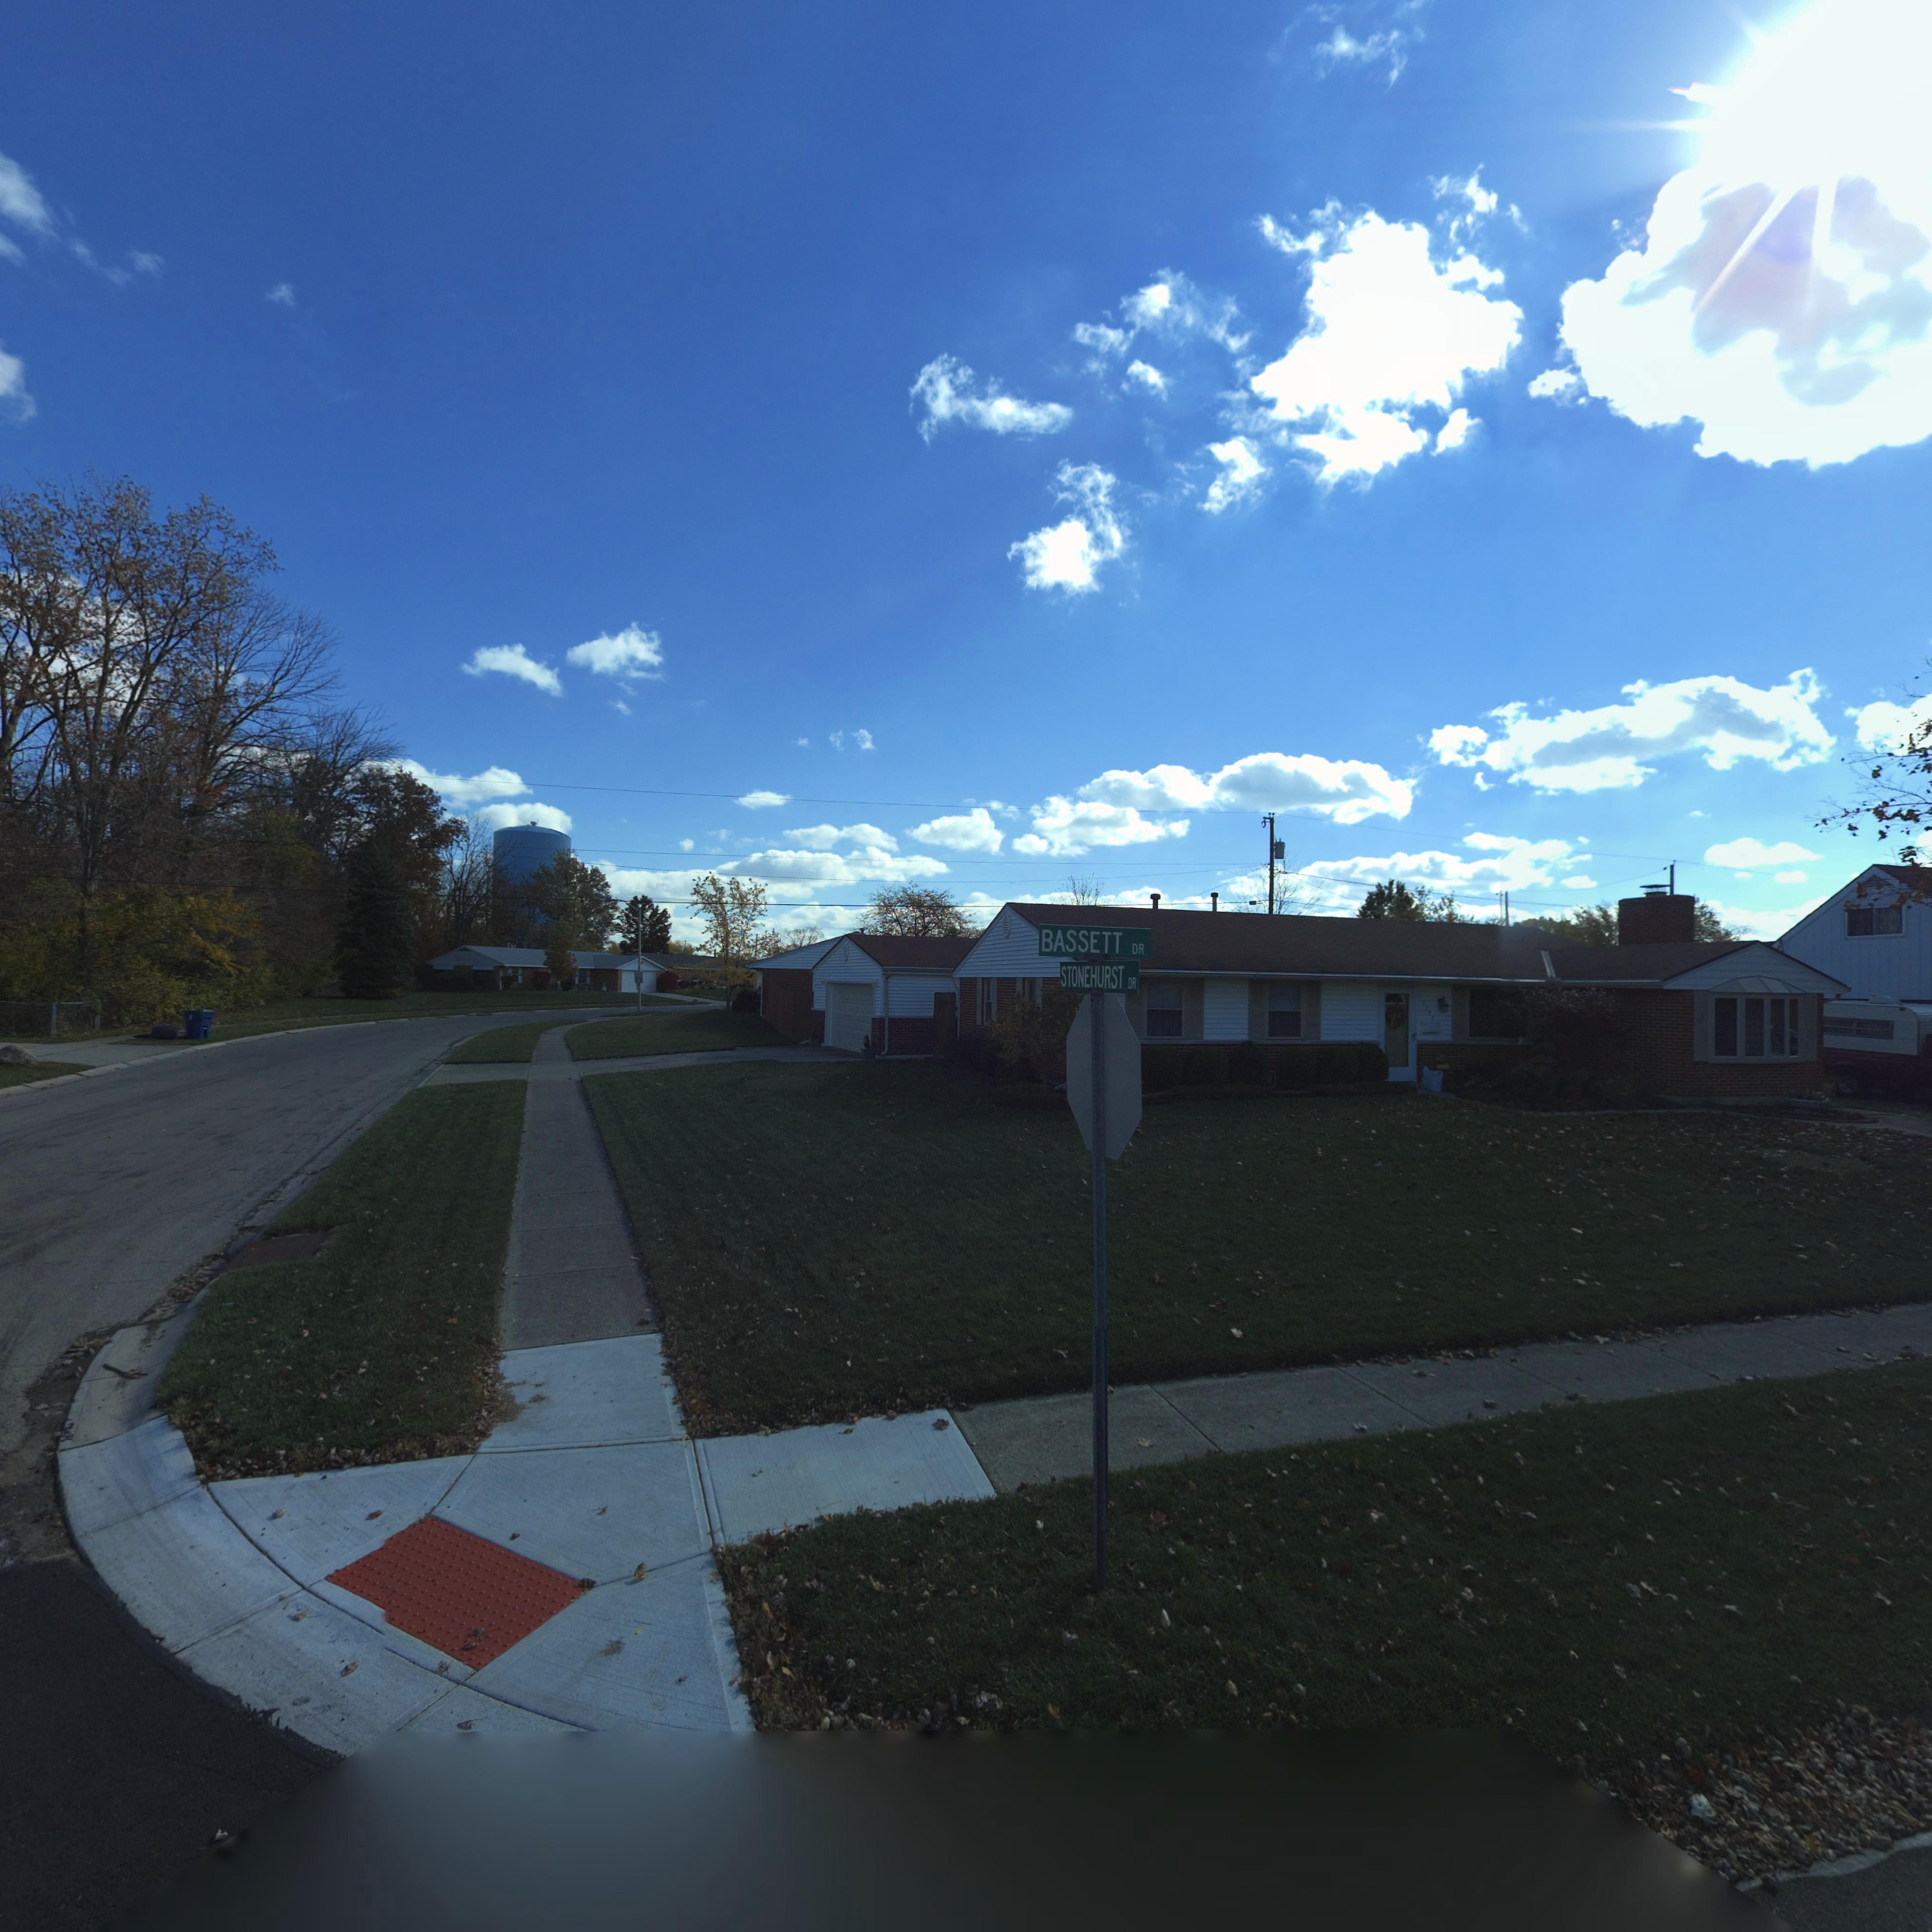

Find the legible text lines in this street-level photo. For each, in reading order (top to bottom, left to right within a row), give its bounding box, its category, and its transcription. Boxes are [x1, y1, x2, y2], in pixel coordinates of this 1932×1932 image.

[1421, 1000, 1435, 1021] StreetNumber: 77**